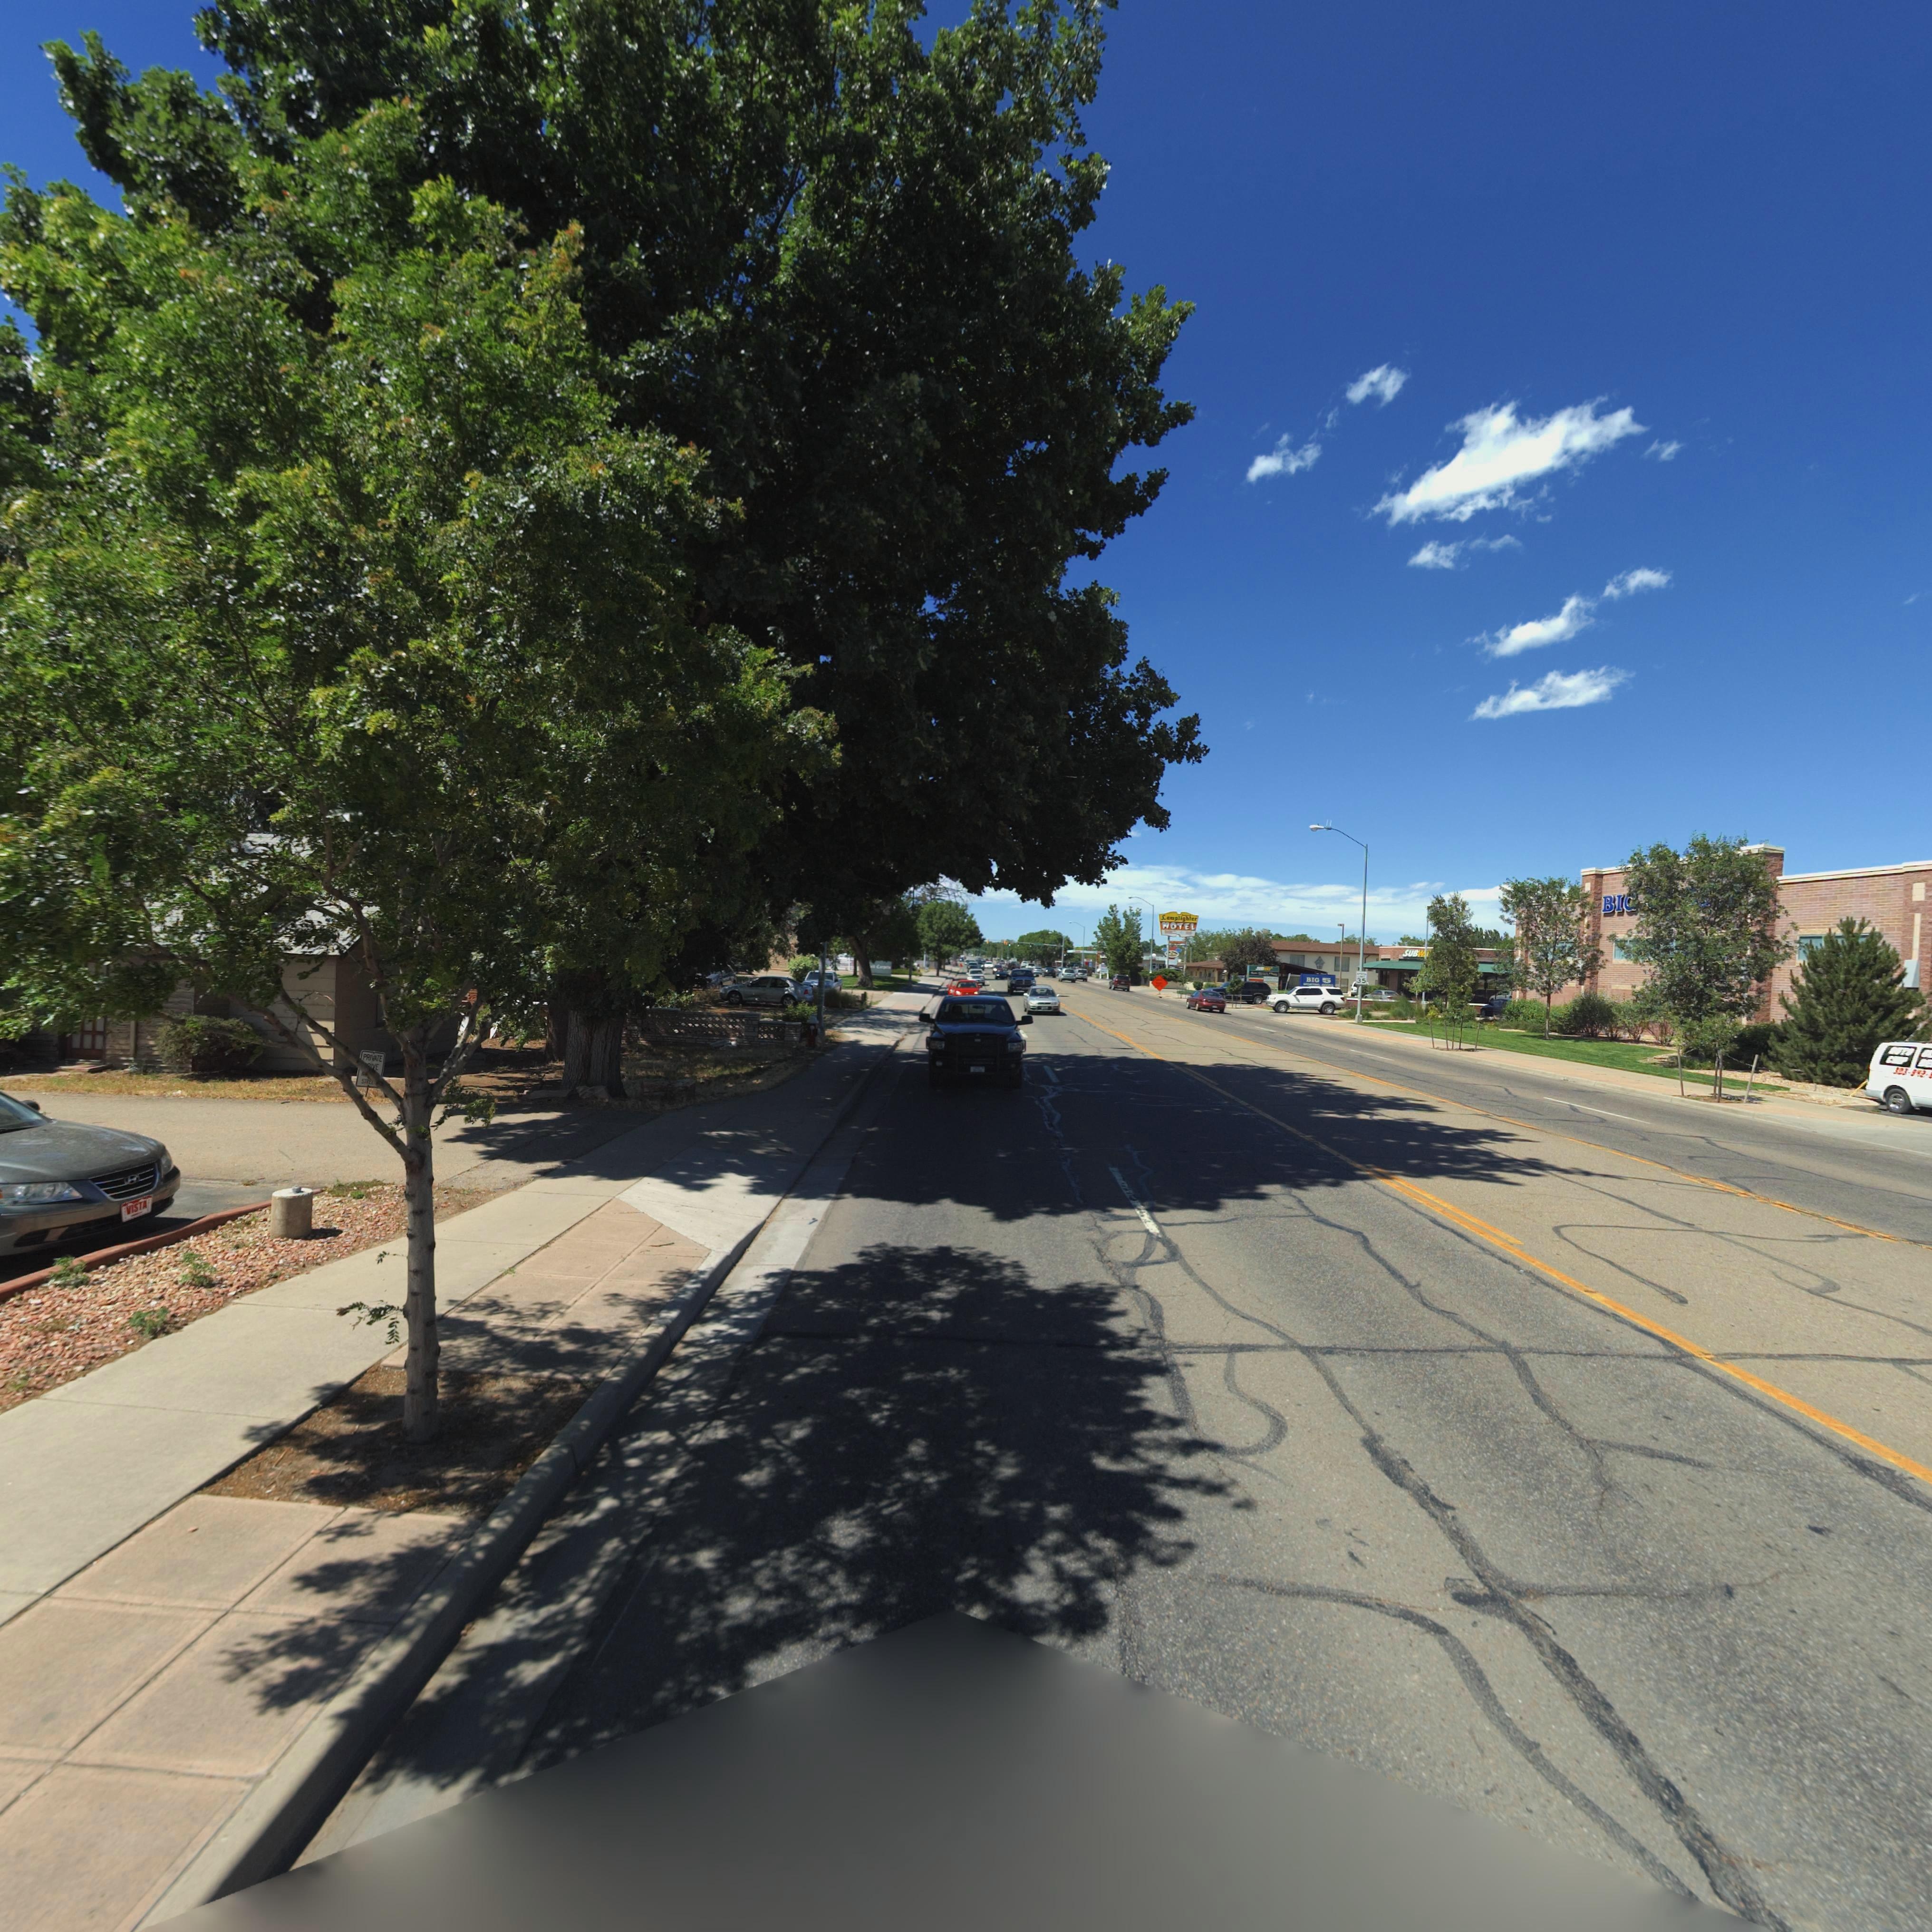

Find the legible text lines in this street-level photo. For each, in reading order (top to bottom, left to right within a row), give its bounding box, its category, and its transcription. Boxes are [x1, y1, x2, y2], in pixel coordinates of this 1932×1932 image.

[1601, 894, 1638, 913] BusinessName: BI*
[1160, 914, 1198, 922] BusinessName: Lamplighter
[1161, 921, 1195, 930] BusinessName: MOTEL
[1401, 949, 1426, 957] BusinessName: SUBW
[876, 964, 891, 970] BusinessName: C******
[1255, 966, 1273, 970] BusinessName: S*****
[1306, 976, 1331, 984] BusinessName: Big 5